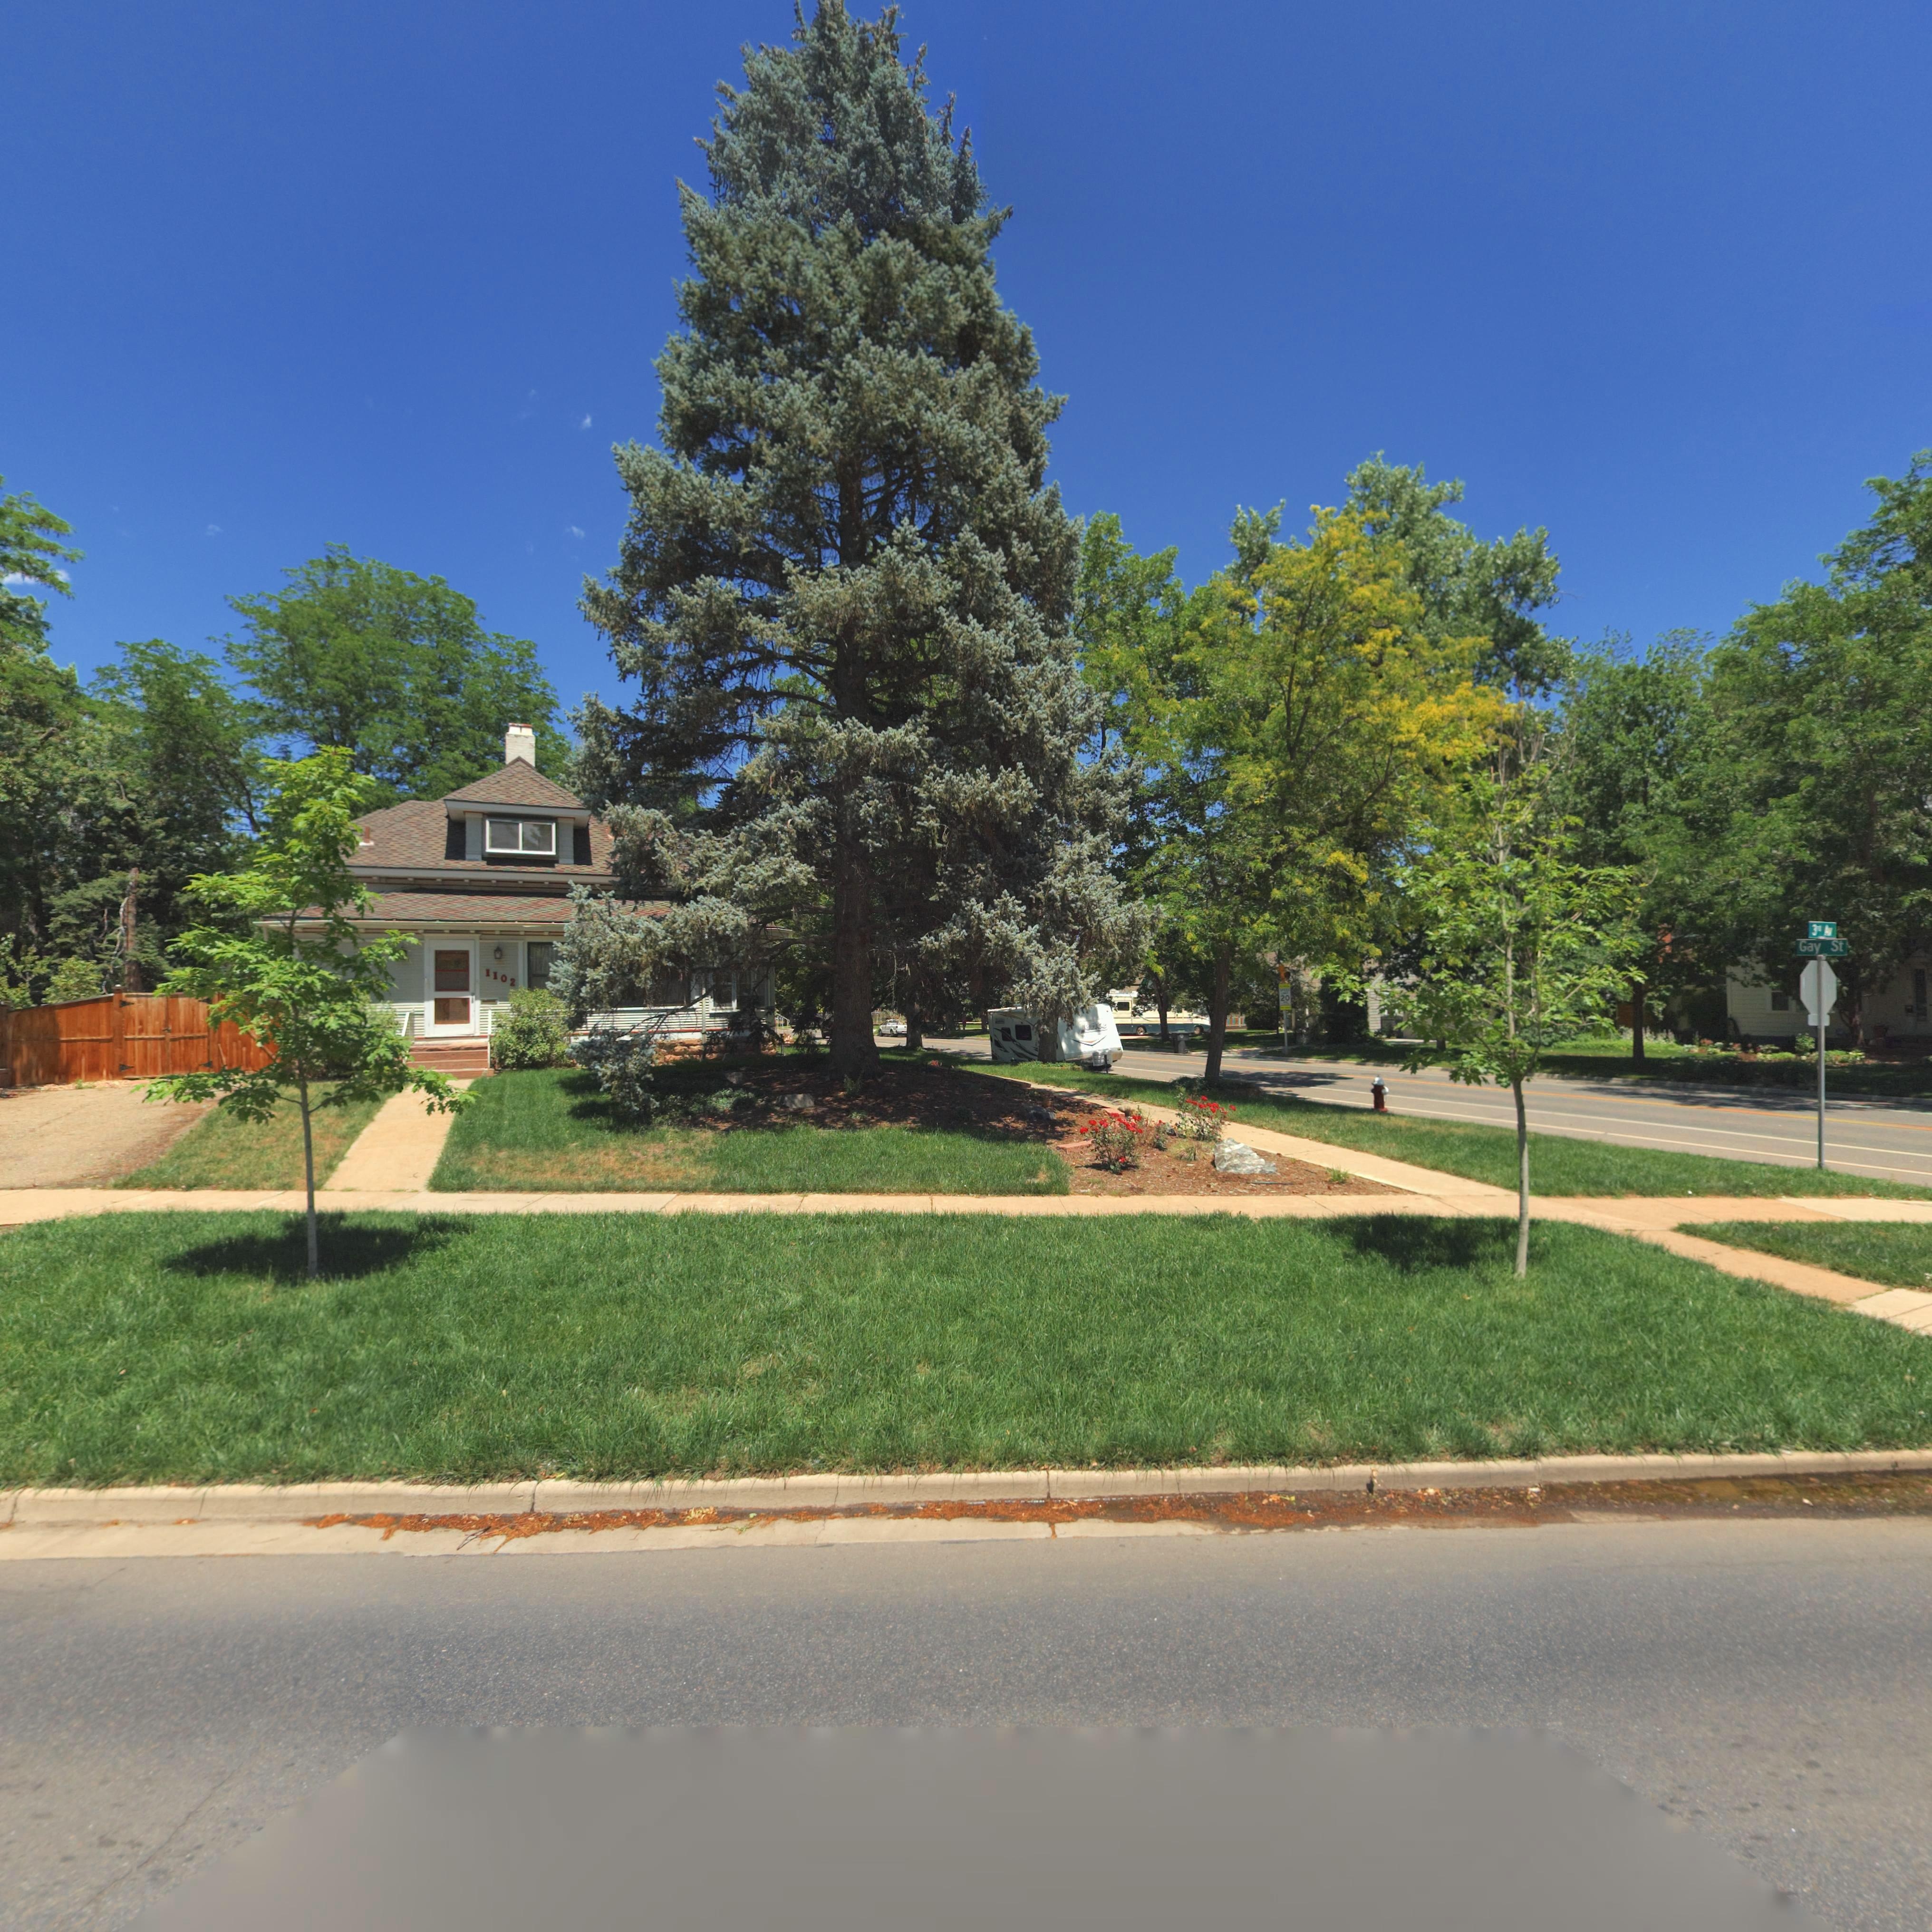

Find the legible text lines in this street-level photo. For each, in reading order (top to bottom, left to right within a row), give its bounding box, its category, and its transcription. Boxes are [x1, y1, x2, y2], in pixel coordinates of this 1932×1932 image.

[1811, 924, 1833, 936] StreetName: 3*d Av
[1799, 939, 1844, 956] StreetName: Gay St
[485, 967, 515, 986] StreetNumber: 1102